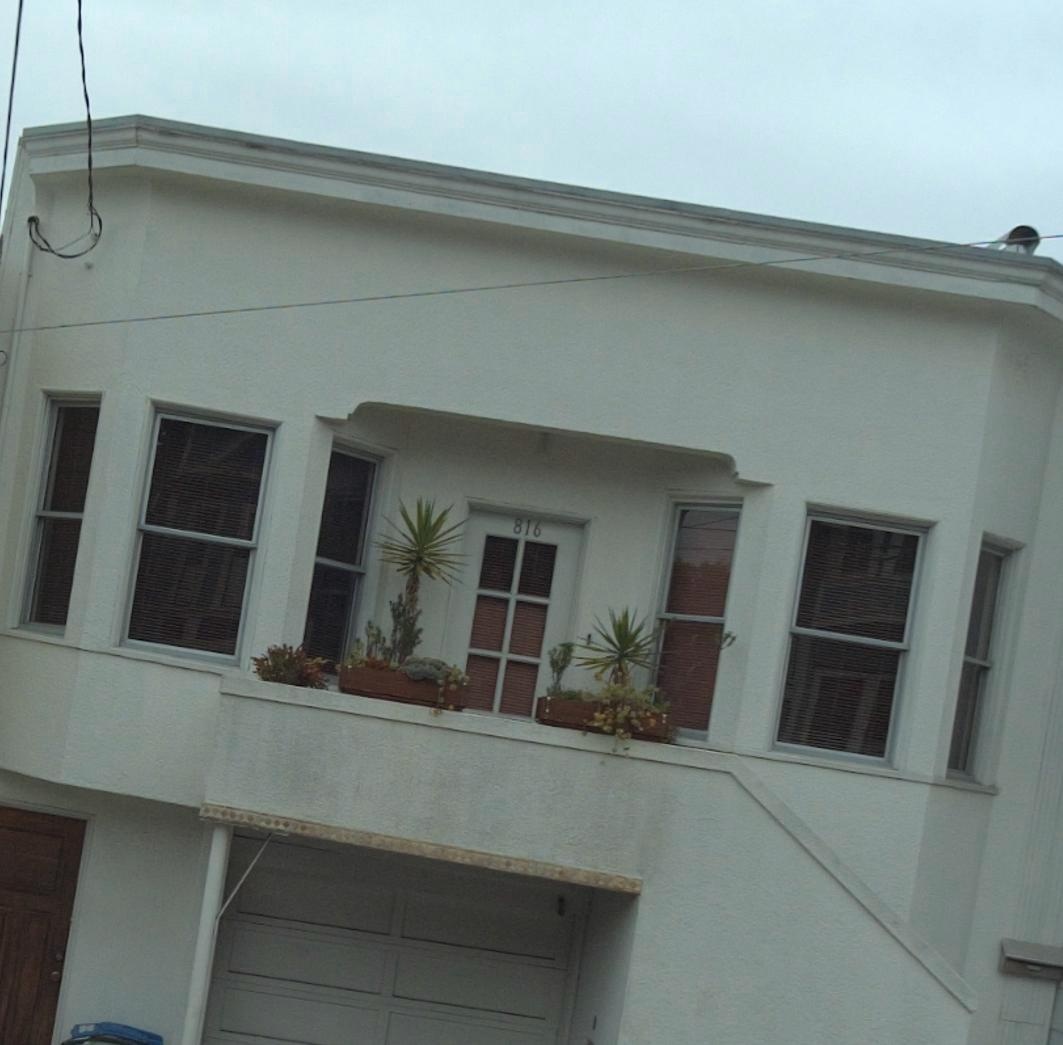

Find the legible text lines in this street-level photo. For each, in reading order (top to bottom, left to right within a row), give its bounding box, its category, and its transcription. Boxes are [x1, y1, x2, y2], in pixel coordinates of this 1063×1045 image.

[510, 515, 545, 539] StreetNumber: 816